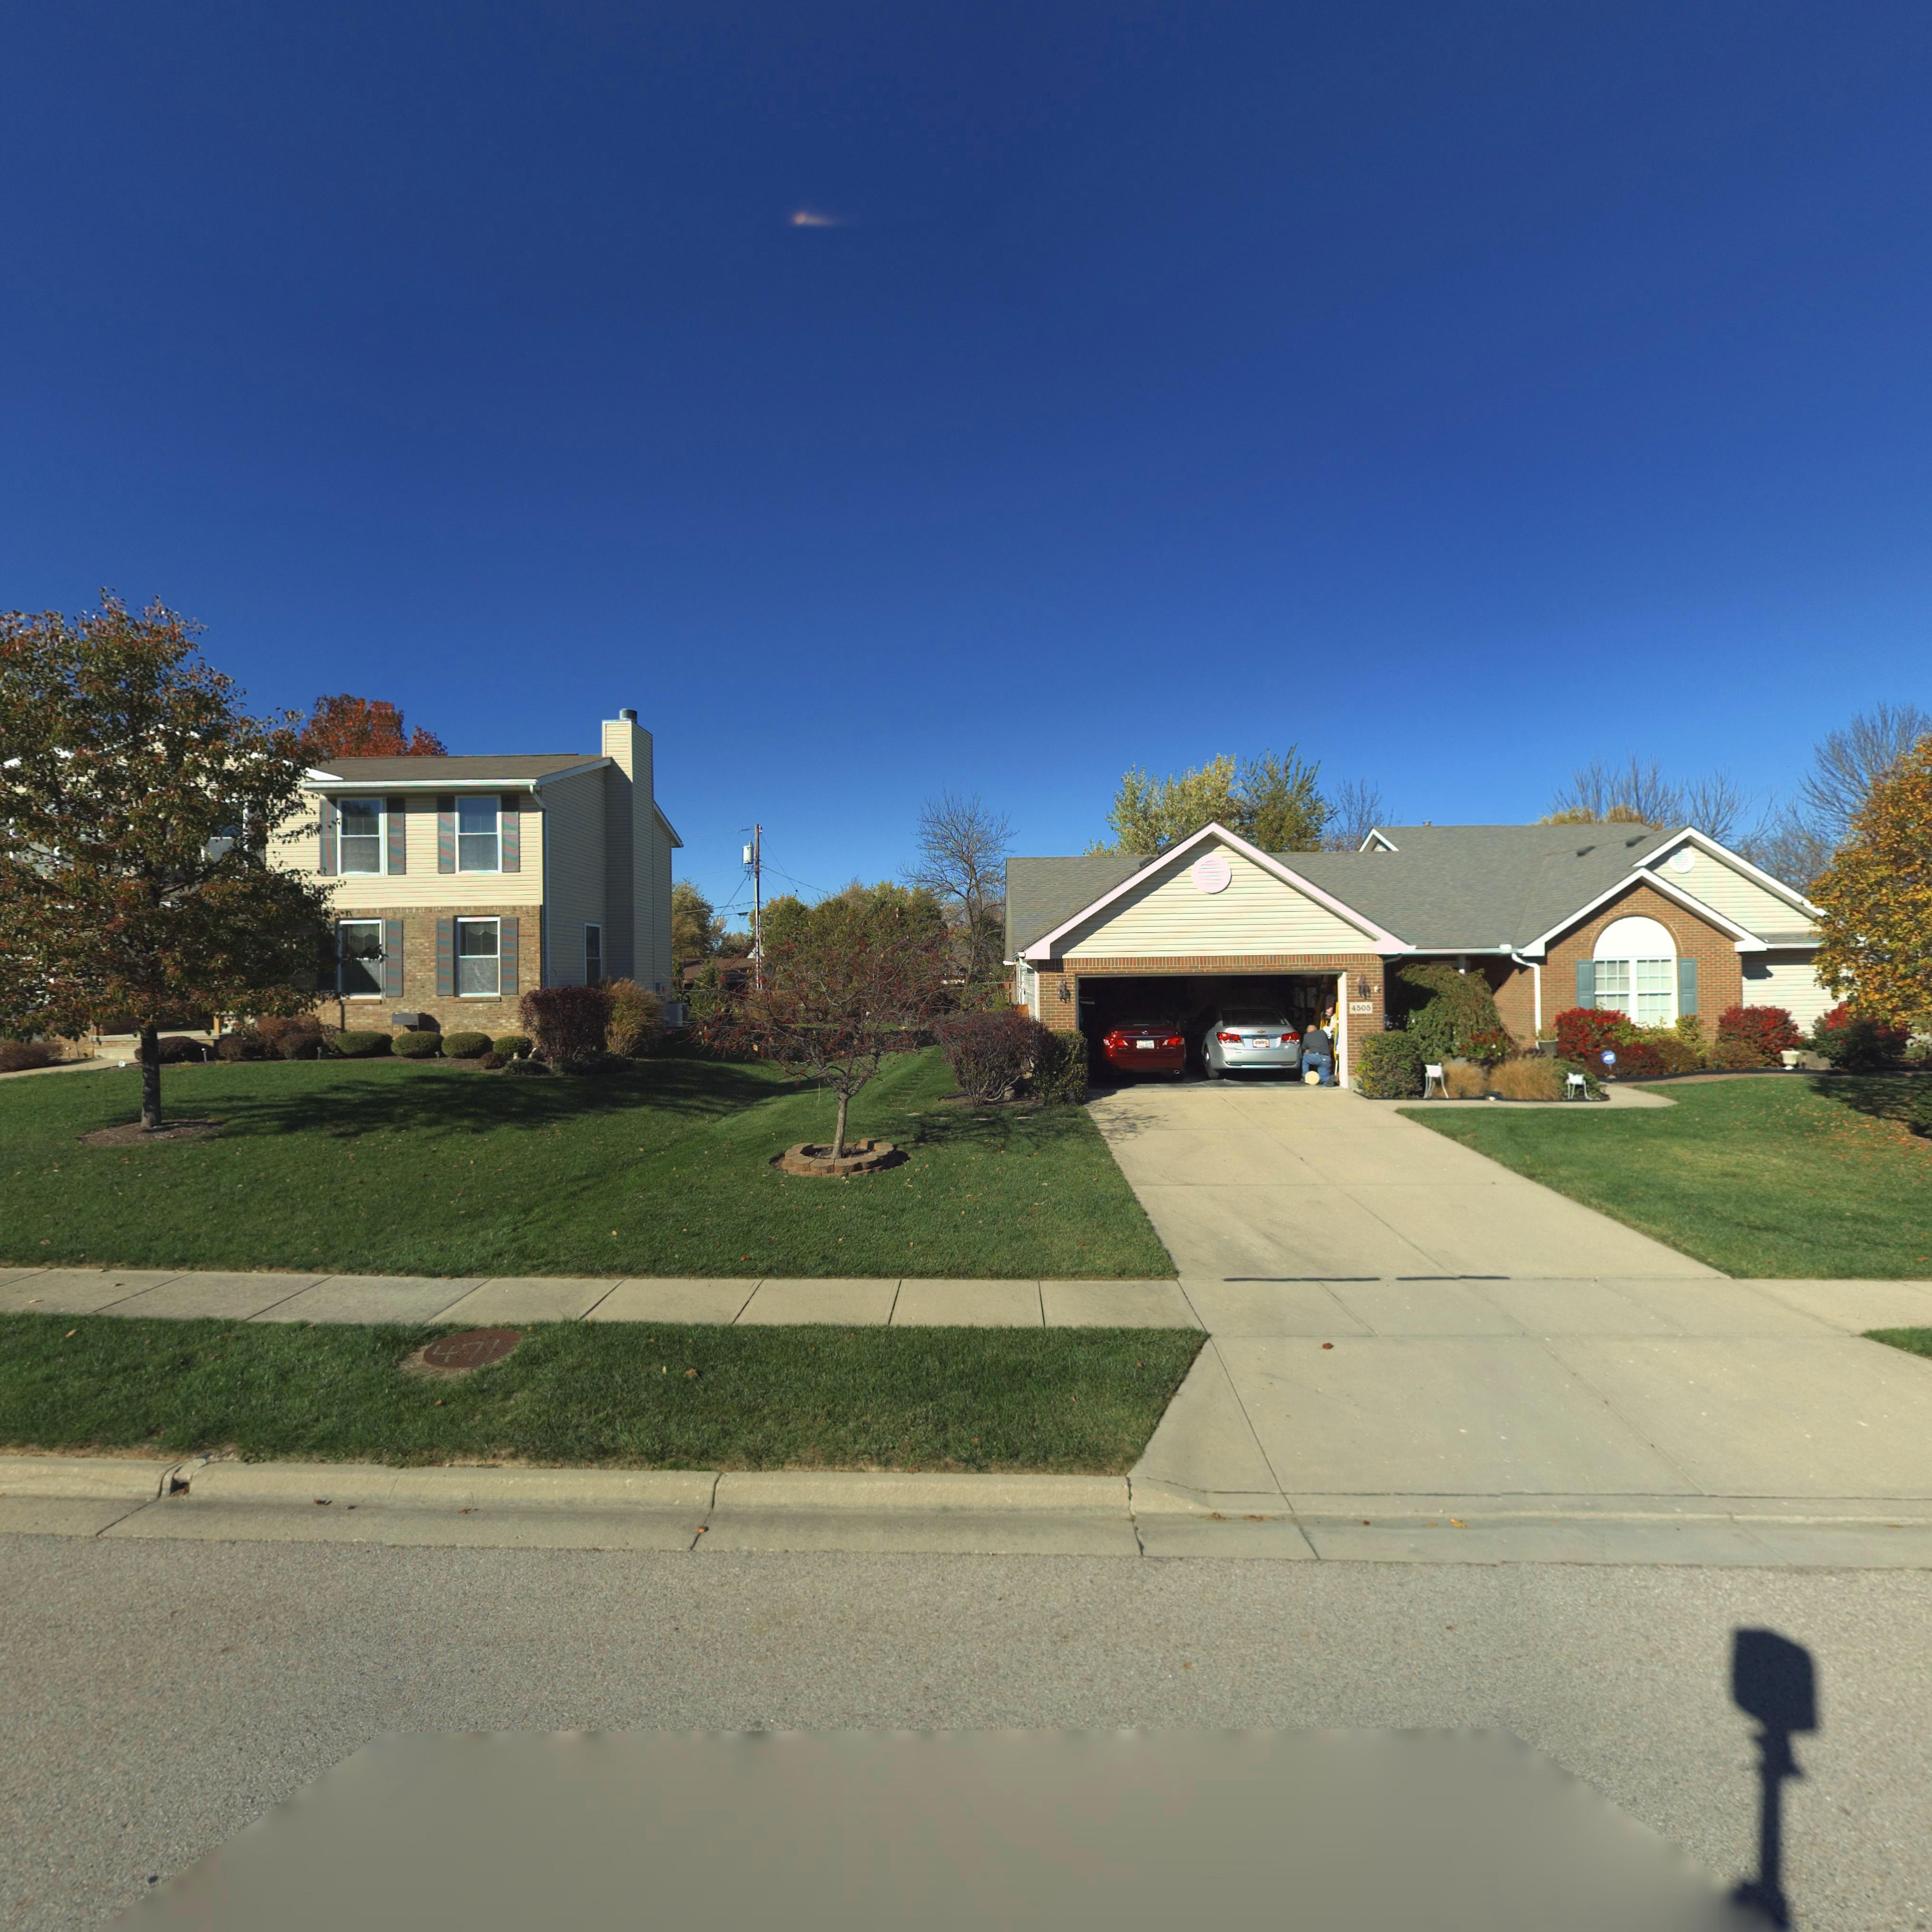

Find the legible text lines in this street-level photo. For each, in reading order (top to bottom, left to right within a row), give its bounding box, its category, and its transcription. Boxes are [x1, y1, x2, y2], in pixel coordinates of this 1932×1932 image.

[1350, 1004, 1372, 1013] StreetNumber: 4505